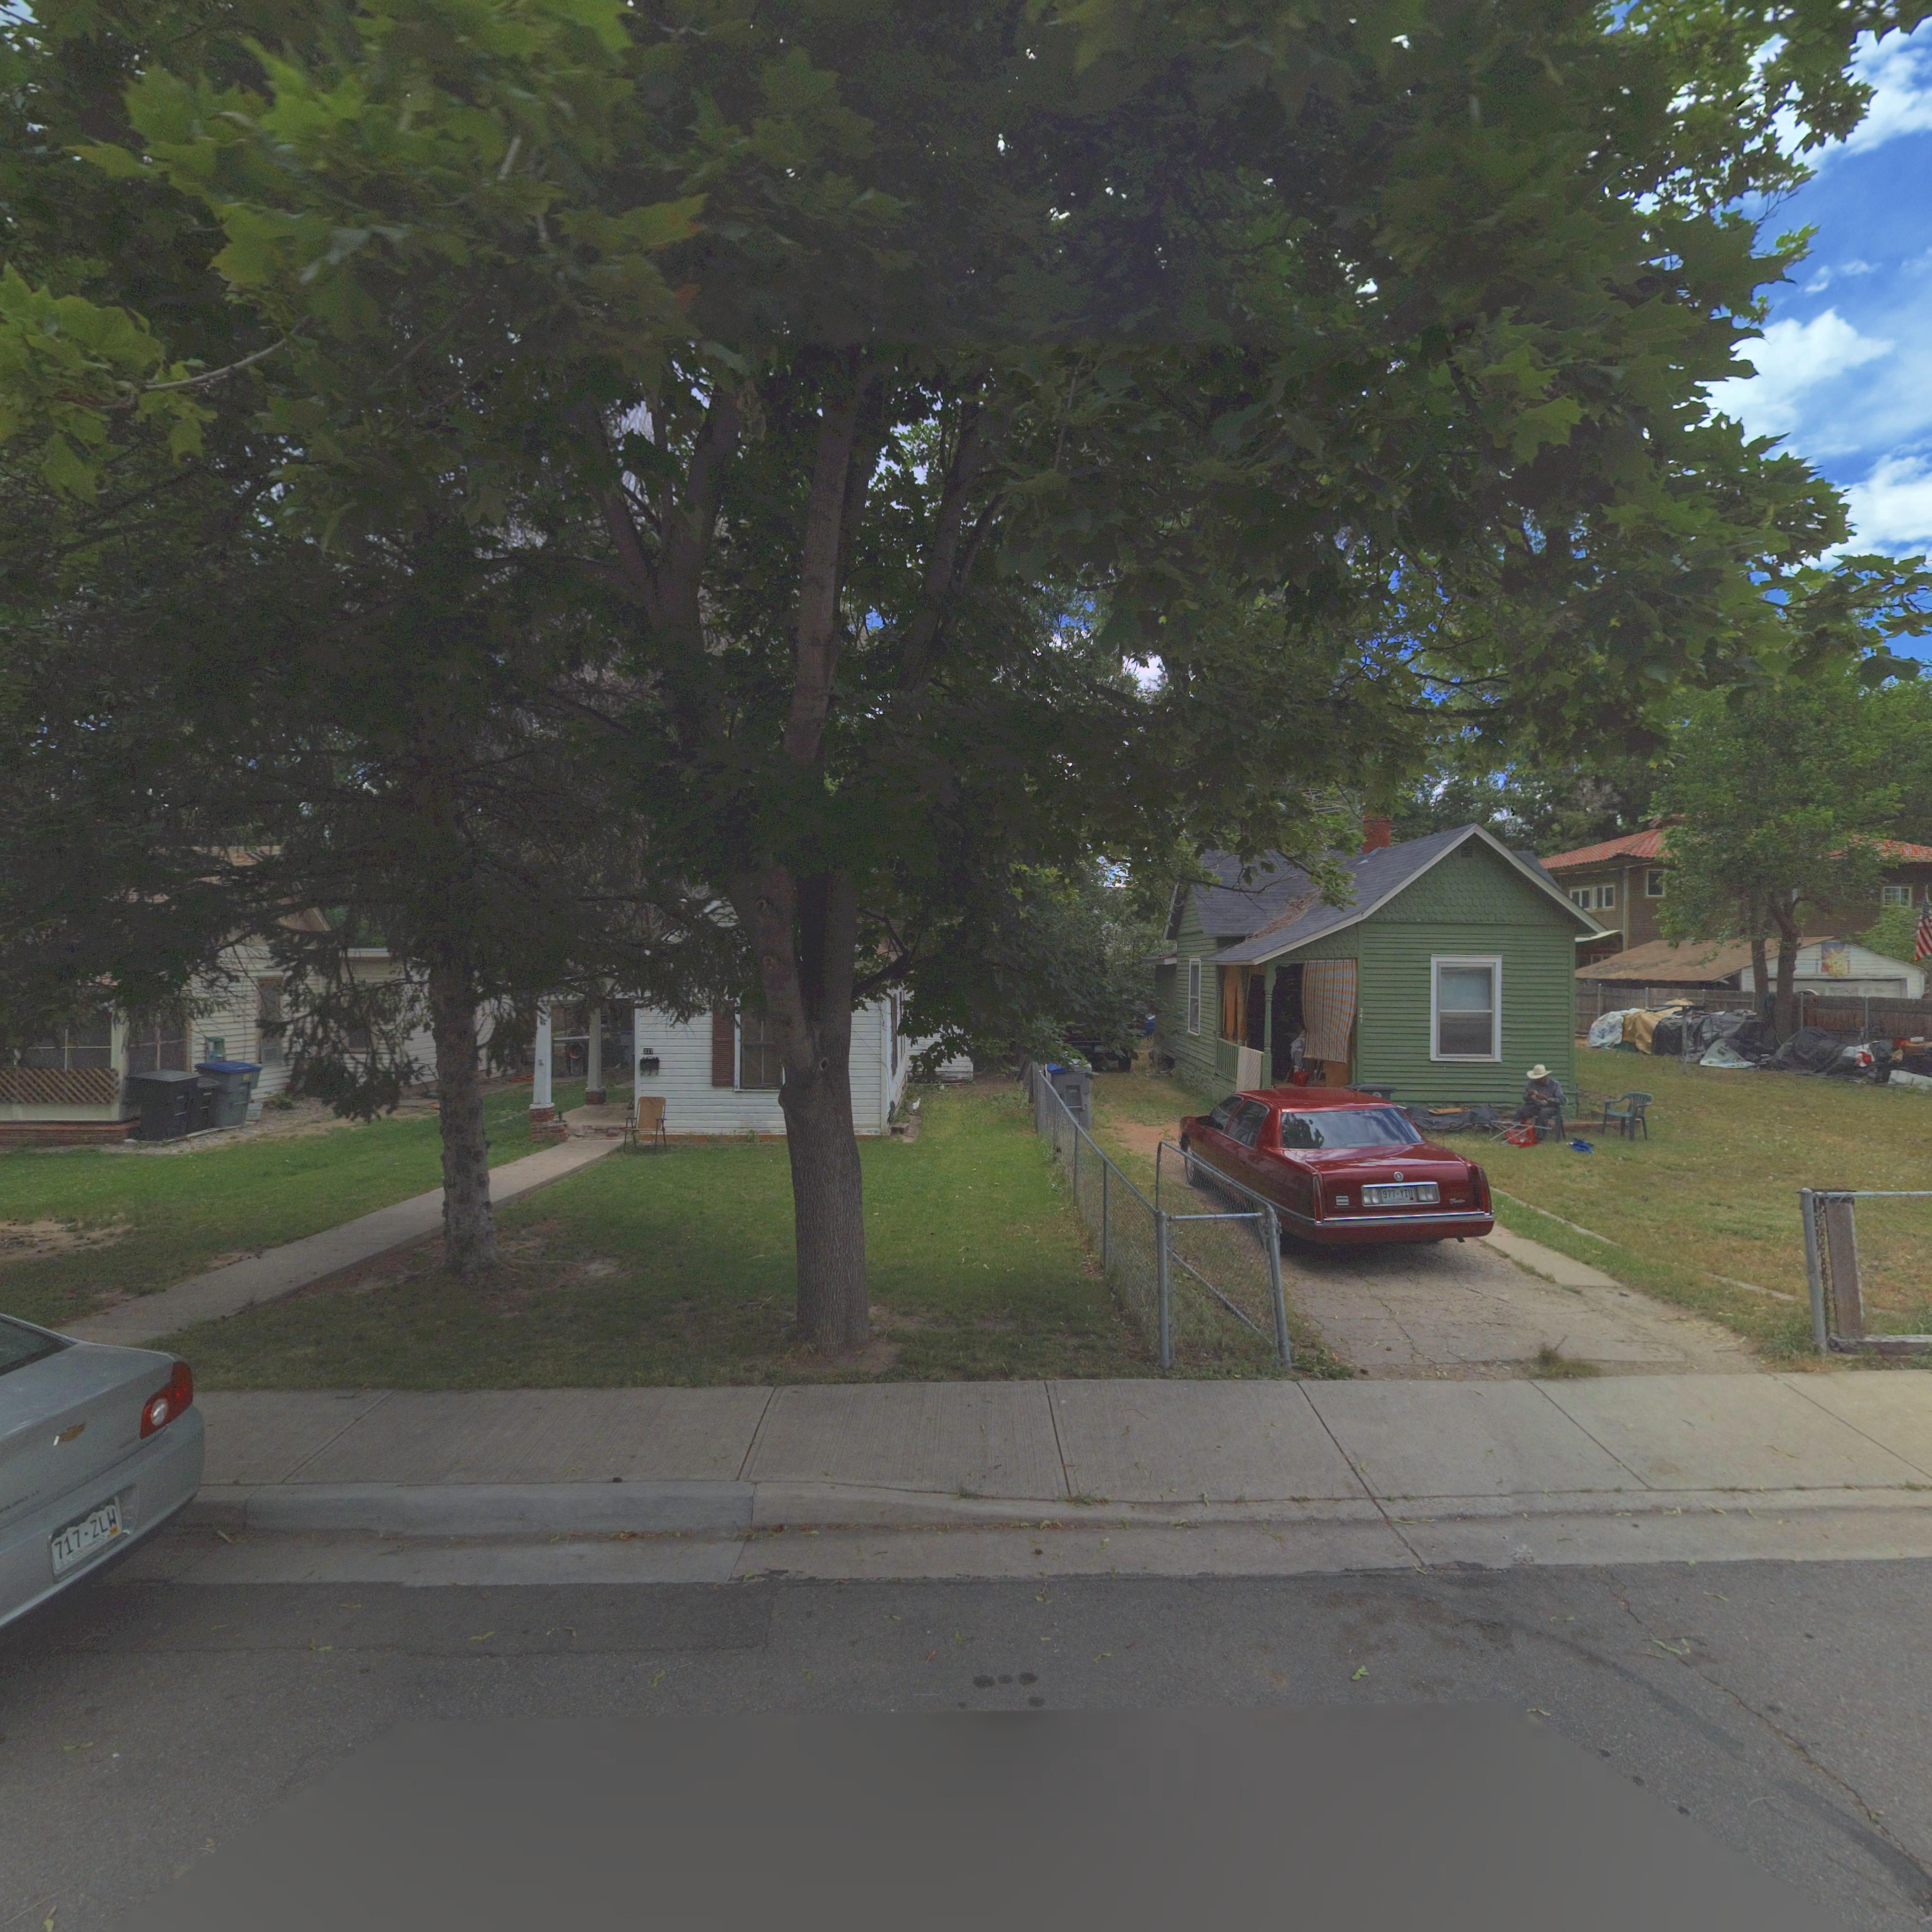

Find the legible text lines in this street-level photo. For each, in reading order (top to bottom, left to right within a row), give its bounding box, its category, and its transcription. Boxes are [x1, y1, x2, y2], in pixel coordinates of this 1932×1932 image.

[1359, 1007, 1363, 1024] StreetNumber: 341
[644, 1048, 653, 1053] StreetNumber: 337